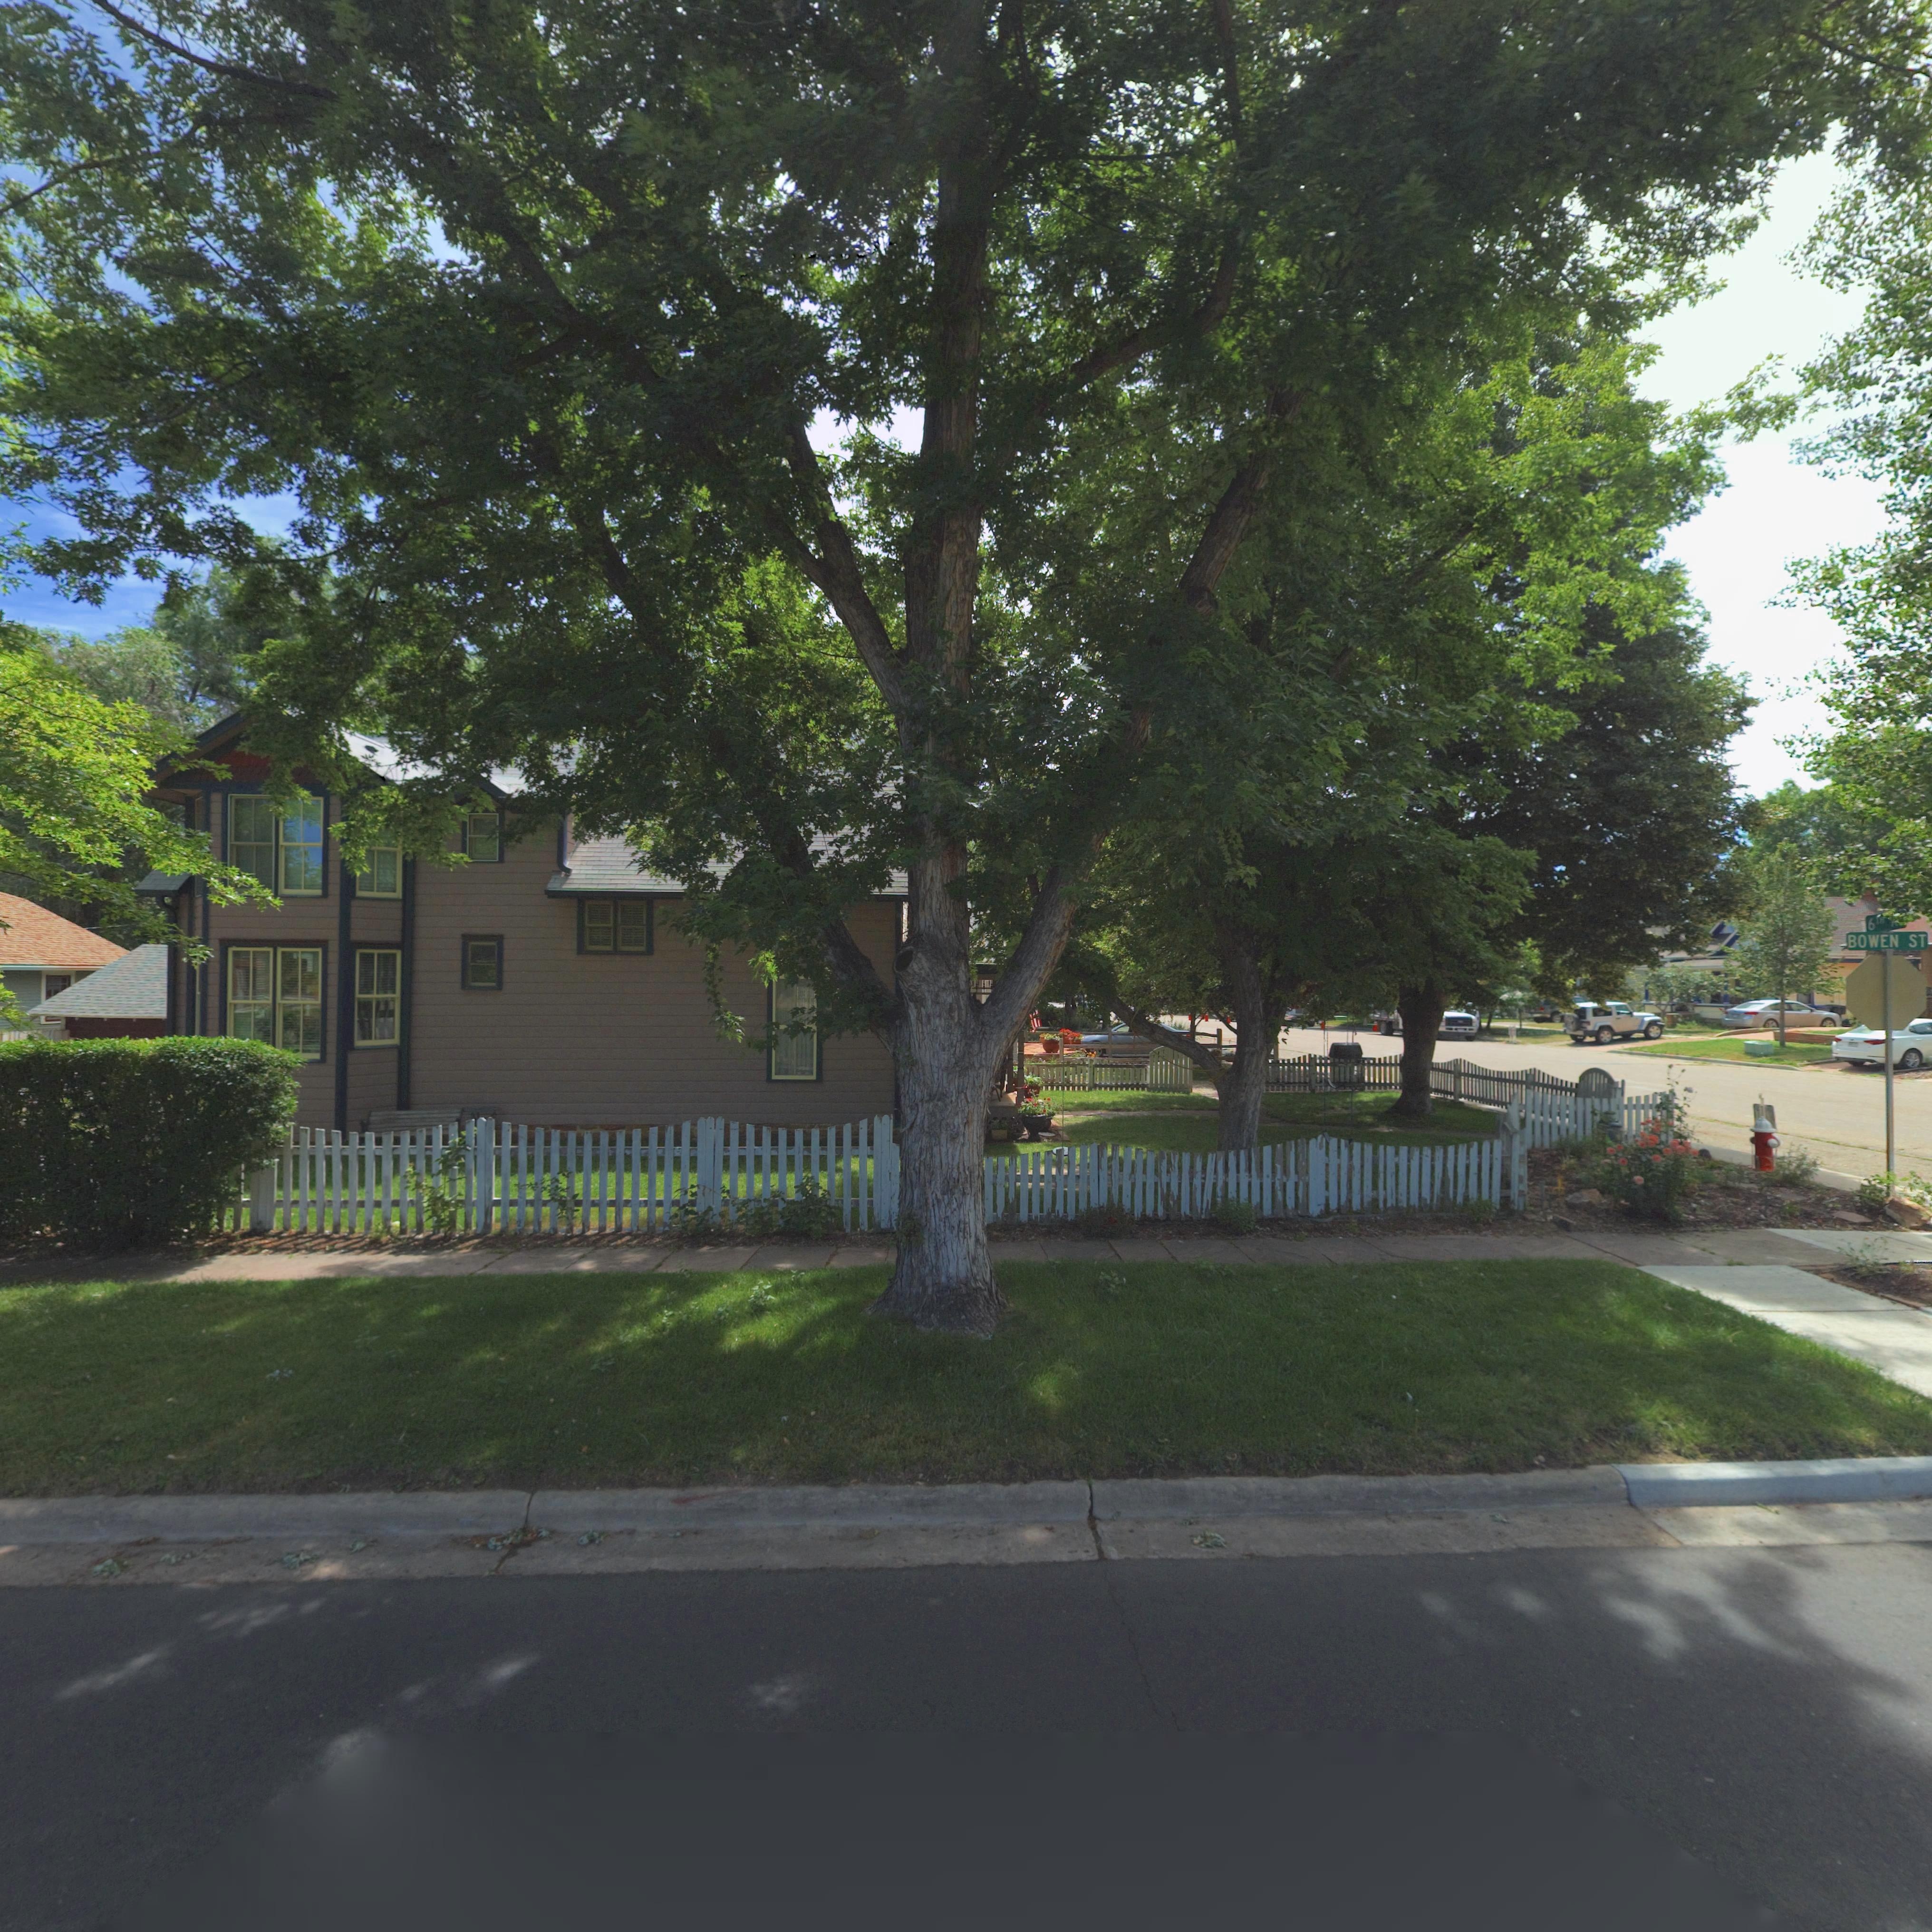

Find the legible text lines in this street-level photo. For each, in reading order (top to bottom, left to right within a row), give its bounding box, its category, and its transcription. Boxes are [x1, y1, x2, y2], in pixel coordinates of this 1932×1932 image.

[1867, 914, 1886, 932] StreetName: 6*H
[1846, 933, 1927, 948] StreetName: BOWEN ST